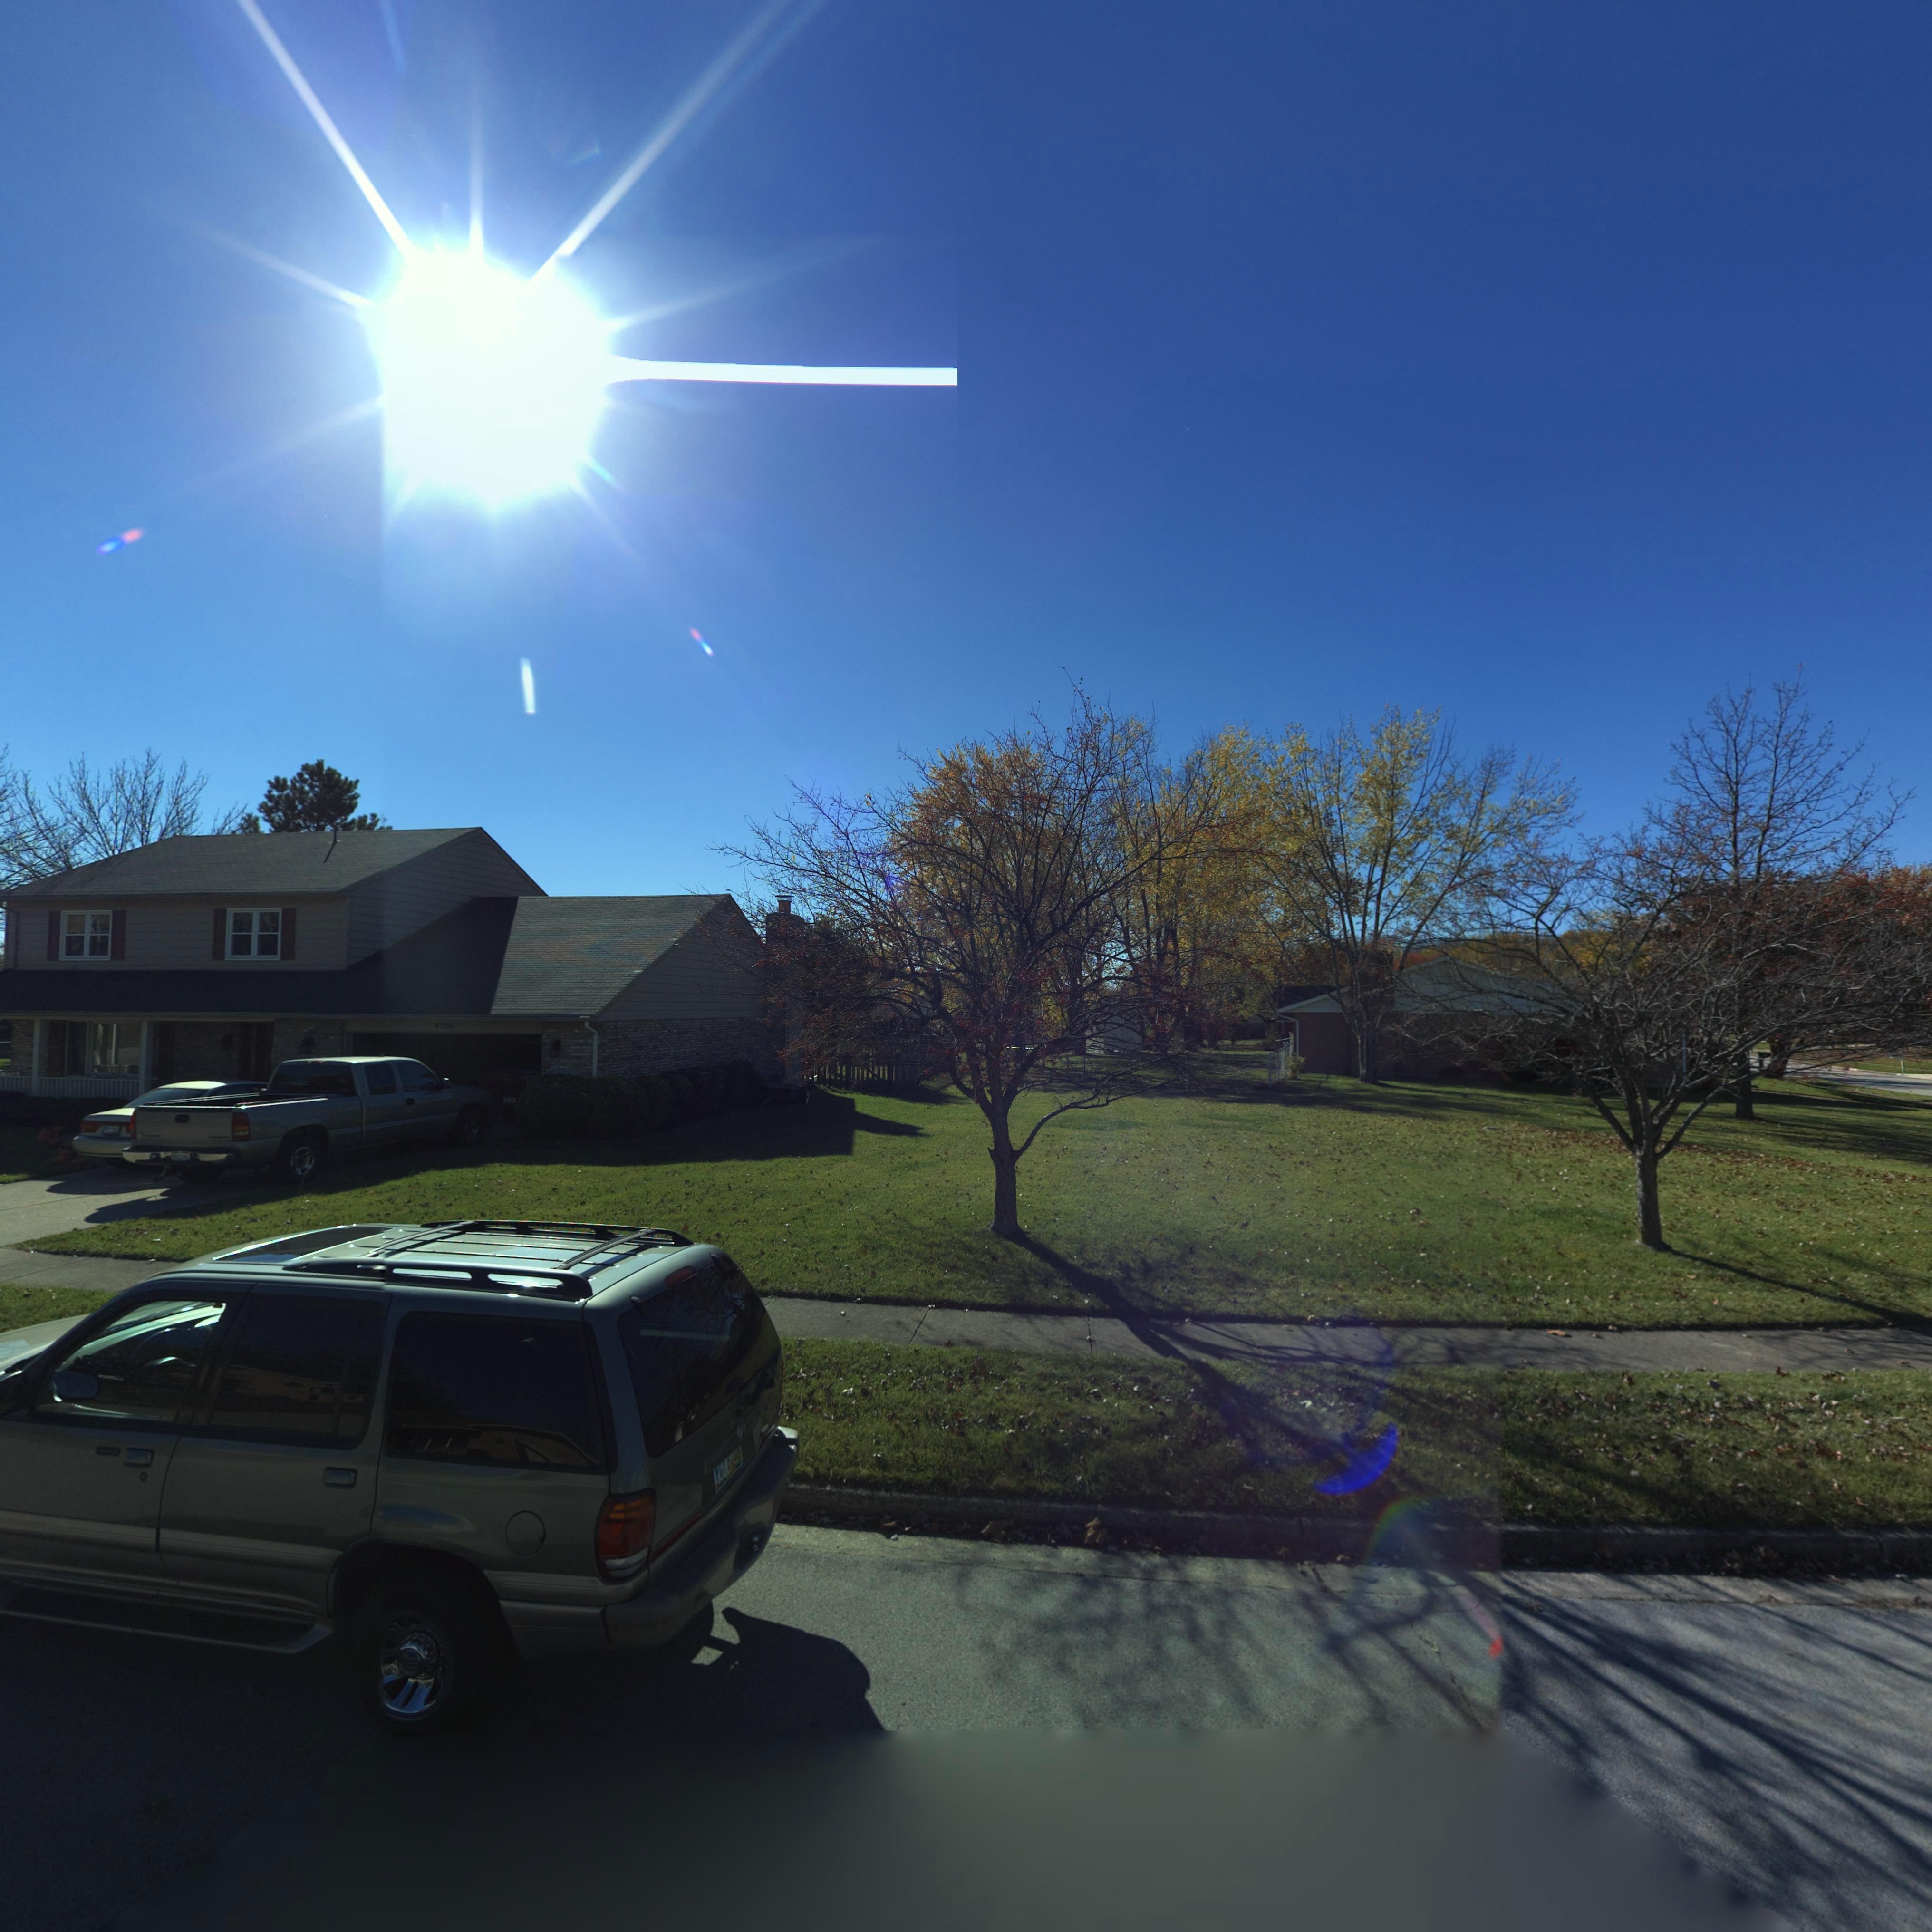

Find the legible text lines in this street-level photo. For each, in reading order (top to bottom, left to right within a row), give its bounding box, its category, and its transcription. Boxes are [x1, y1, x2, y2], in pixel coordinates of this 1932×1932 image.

[435, 1022, 454, 1029] StreetNumber: 4300